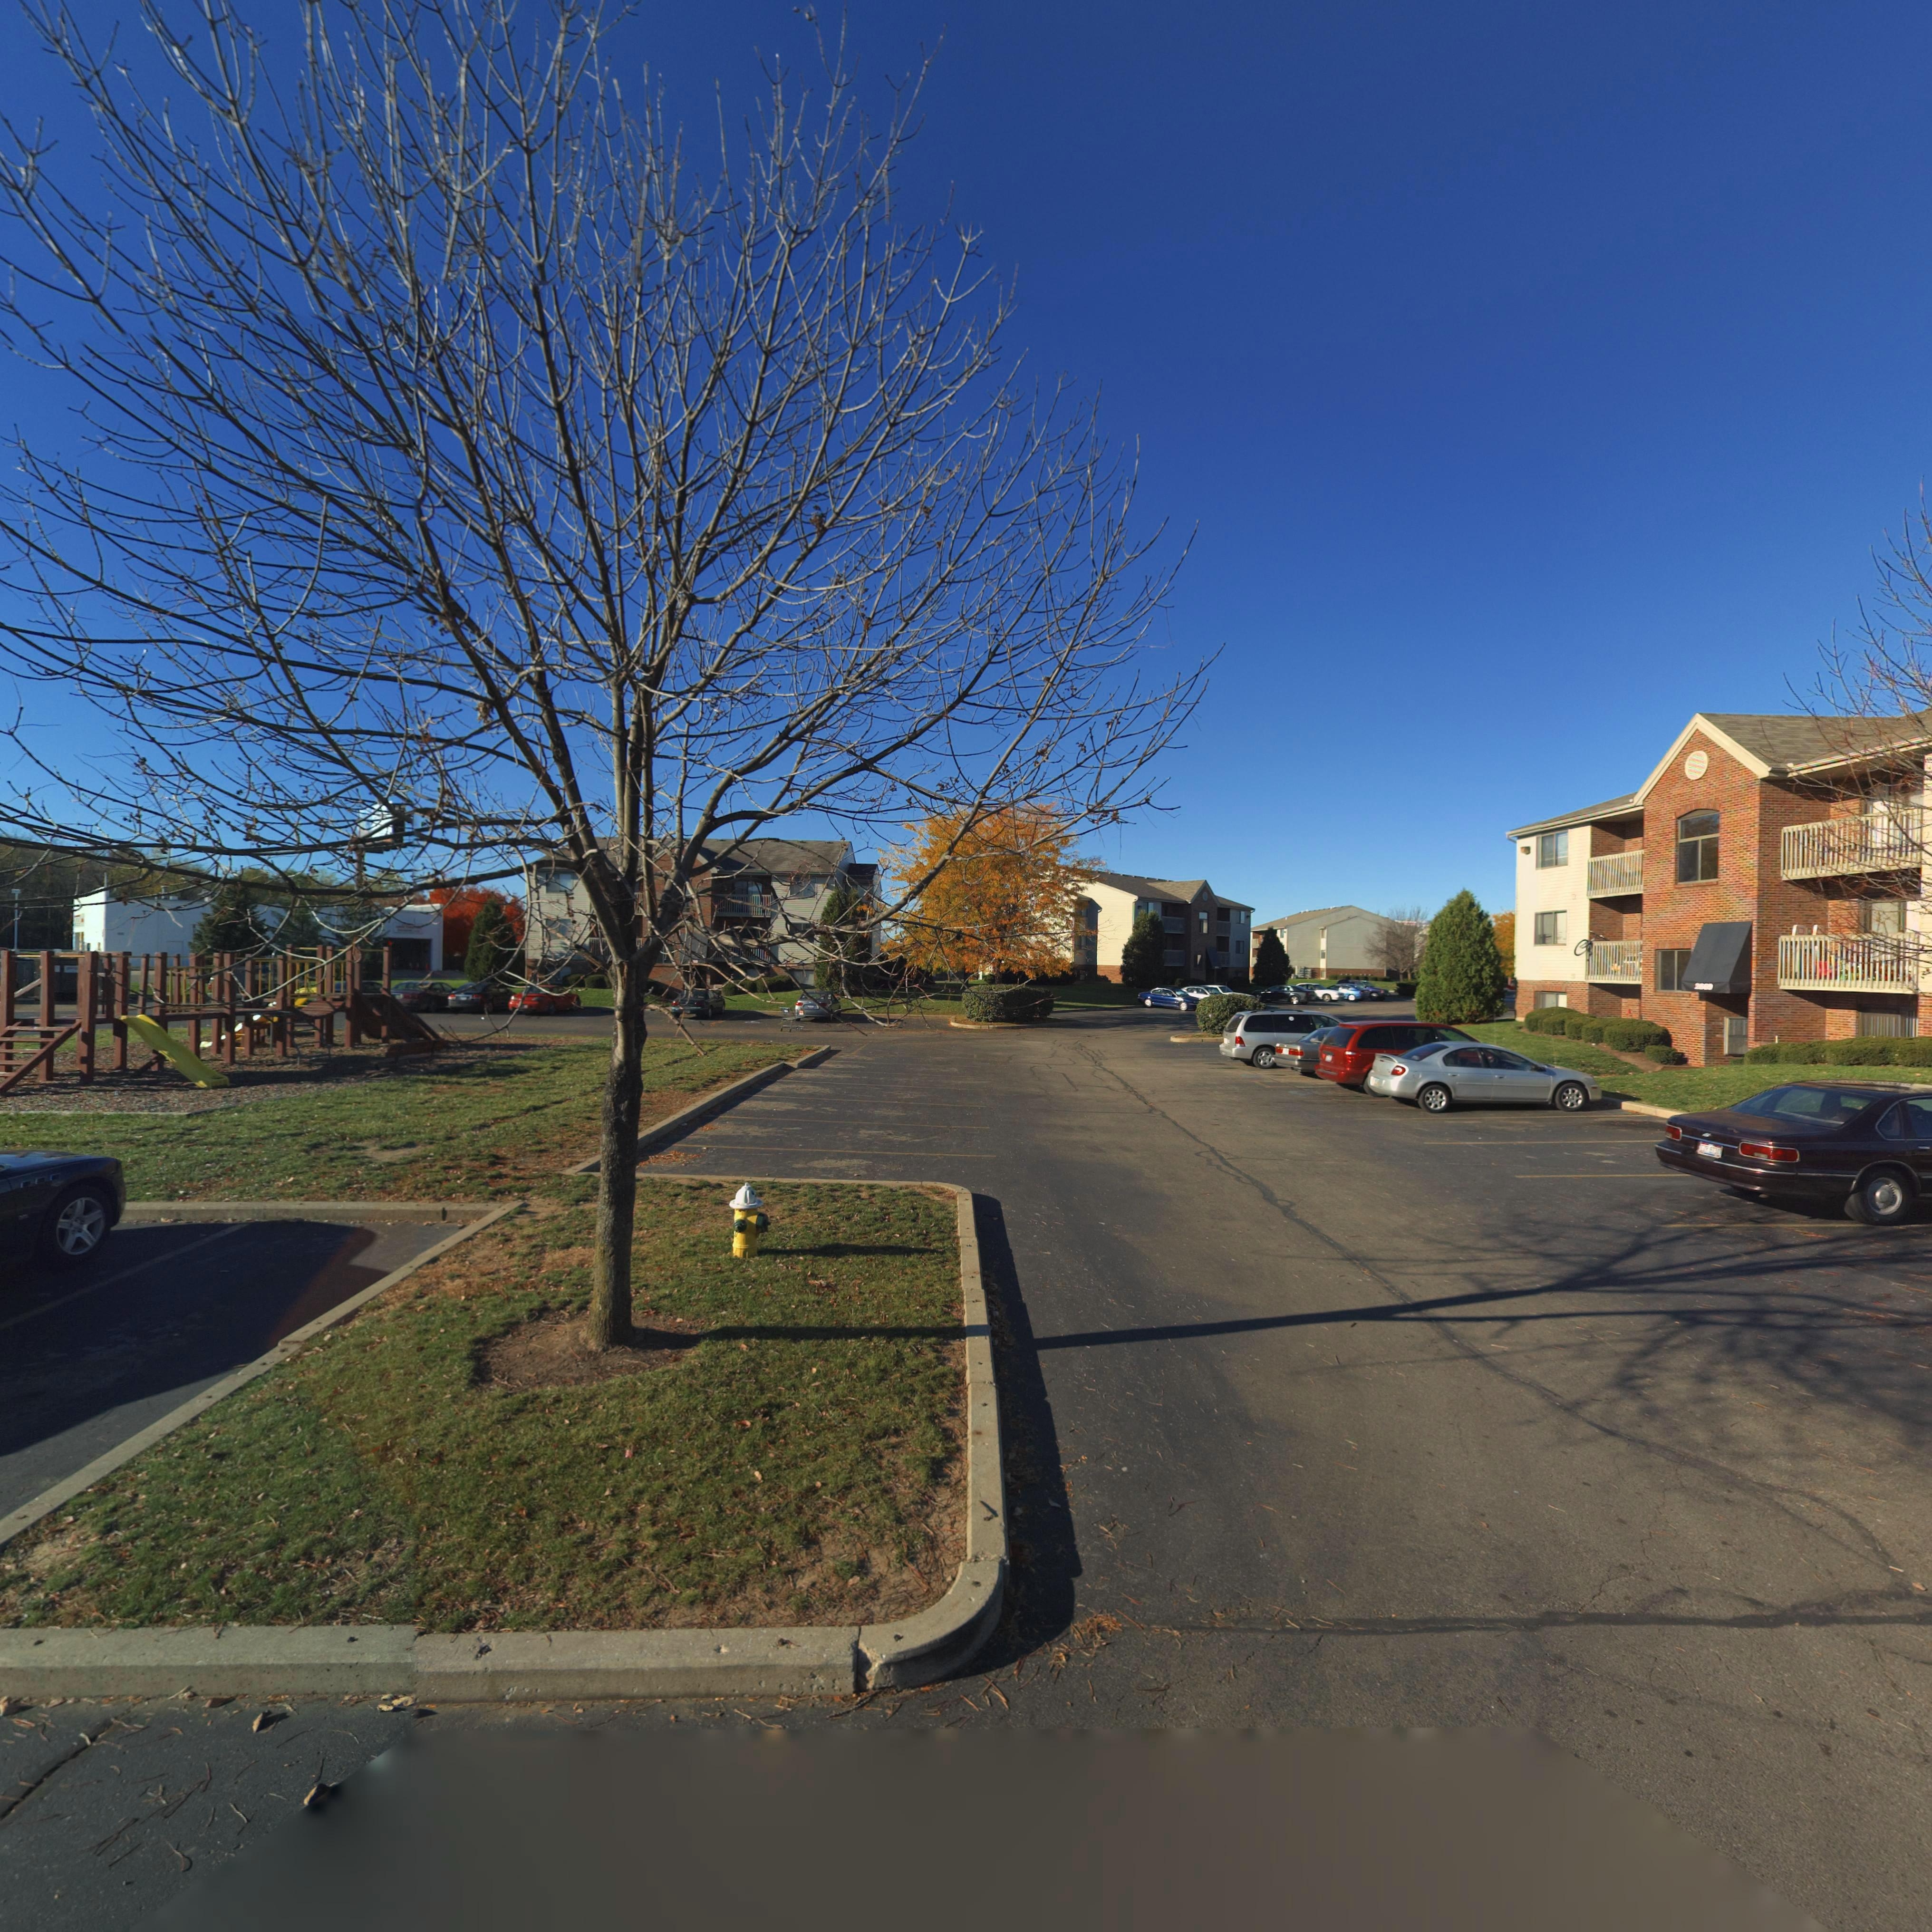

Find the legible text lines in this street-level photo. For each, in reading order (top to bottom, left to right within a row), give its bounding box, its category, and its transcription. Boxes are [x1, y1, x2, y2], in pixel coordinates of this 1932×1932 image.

[1693, 983, 1714, 991] StreetNumber: 2669